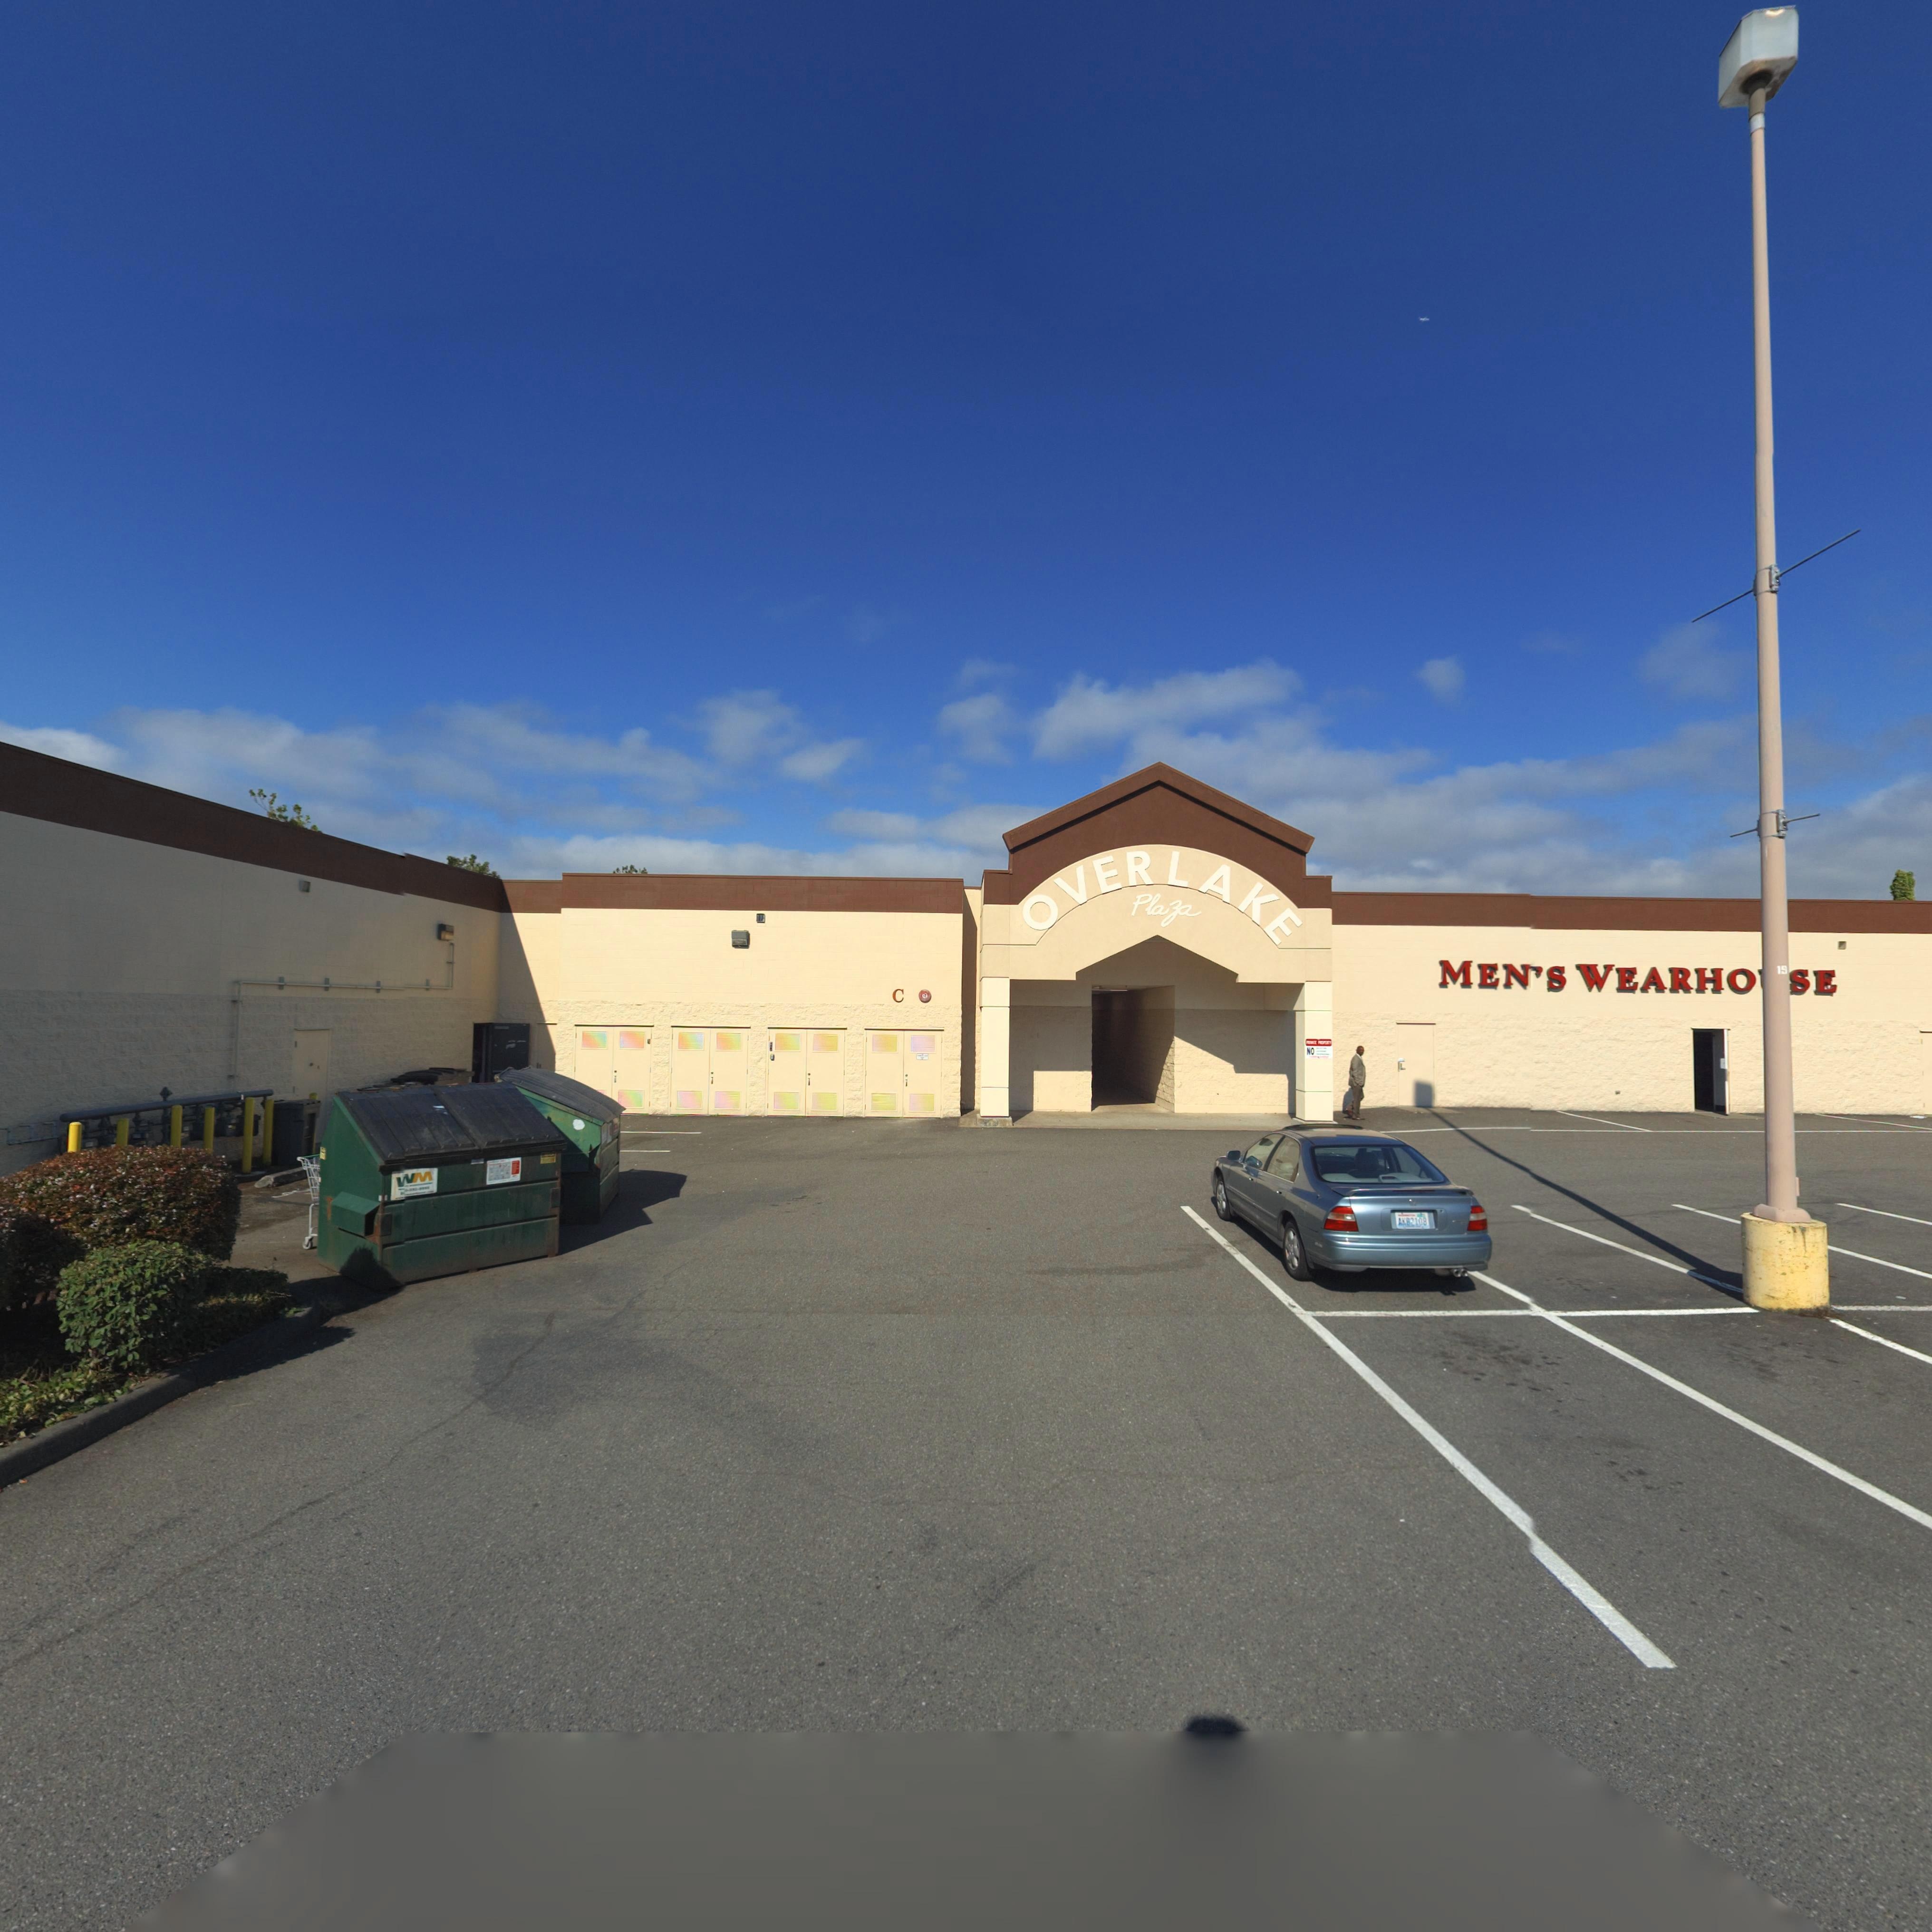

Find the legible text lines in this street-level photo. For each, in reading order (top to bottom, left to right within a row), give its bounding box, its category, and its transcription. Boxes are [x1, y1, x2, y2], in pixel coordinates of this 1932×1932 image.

[1431, 955, 1844, 1000] BusinessName: MEN'S WAREHO*SE